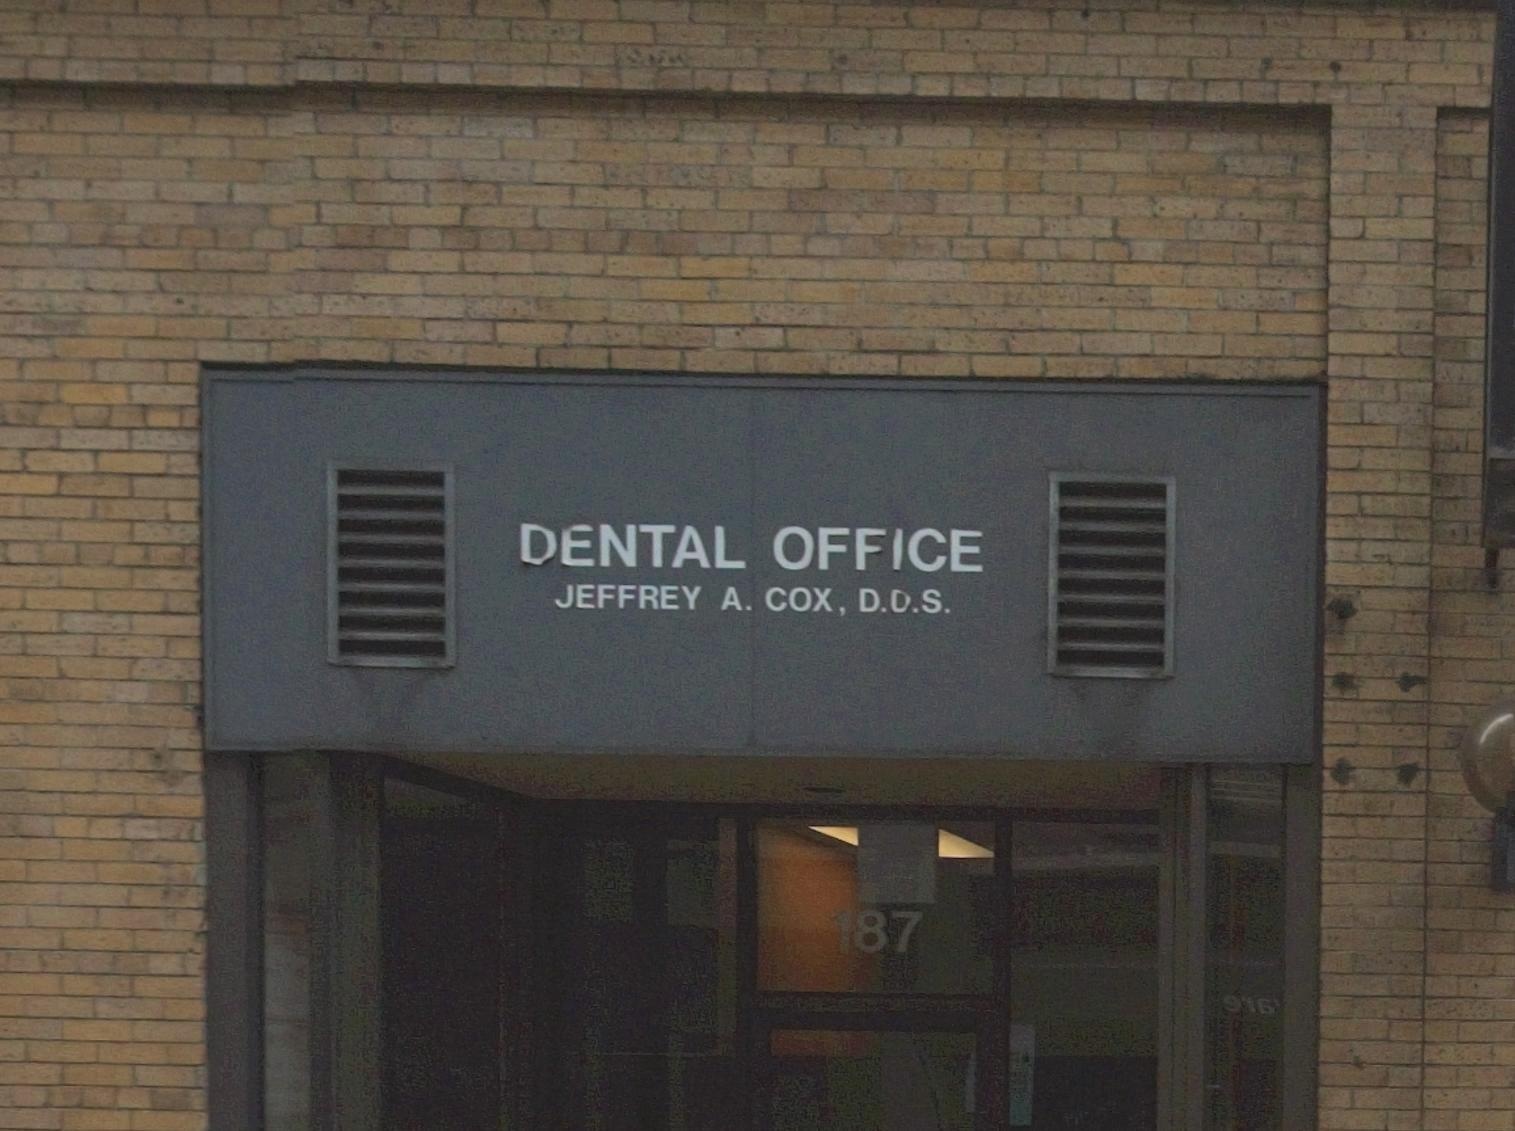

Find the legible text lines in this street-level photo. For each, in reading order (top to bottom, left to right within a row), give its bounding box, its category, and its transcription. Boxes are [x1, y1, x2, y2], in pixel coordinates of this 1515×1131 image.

[517, 520, 987, 574] BusinessName: DENTAL OFFICE
[548, 580, 955, 620] None: JEFFREY A. COX, D.D.S.
[824, 905, 930, 958] StreetNumber: 187
[1220, 992, 1281, 1017] None: 916